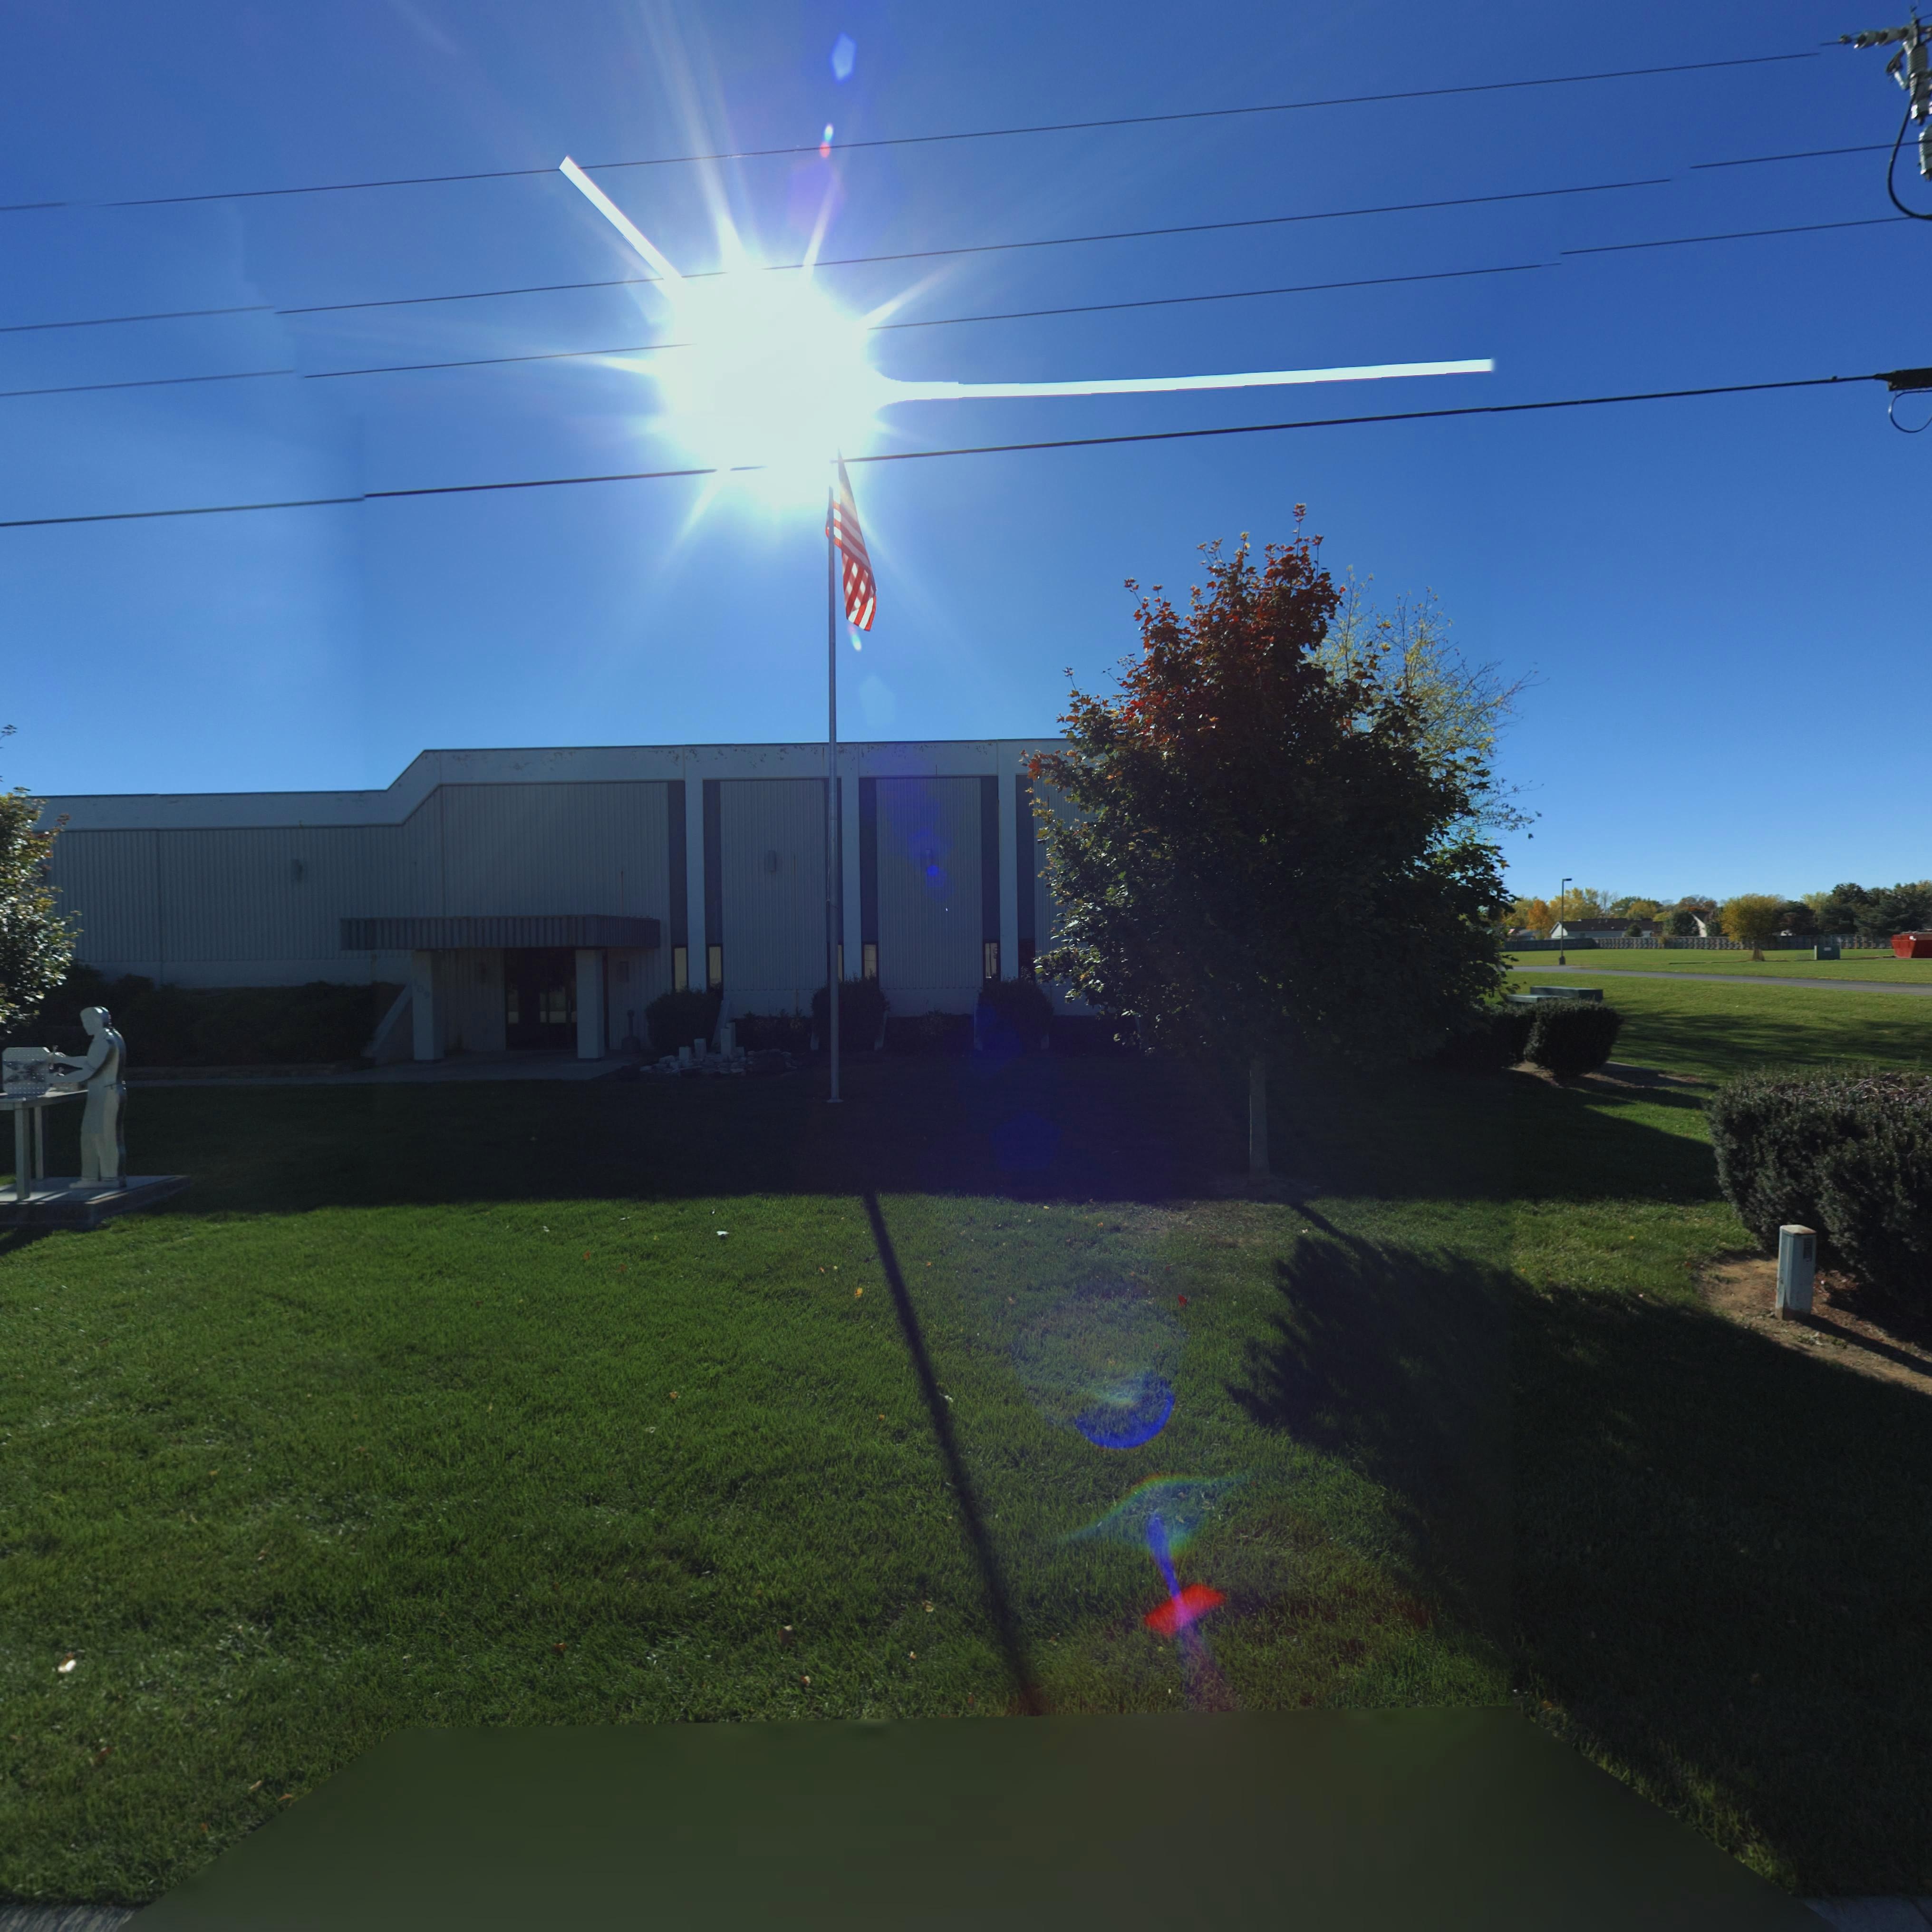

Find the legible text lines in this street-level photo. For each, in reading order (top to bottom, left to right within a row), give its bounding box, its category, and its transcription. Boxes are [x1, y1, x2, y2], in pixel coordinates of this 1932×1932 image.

[412, 977, 432, 1001] StreetNumber: 109